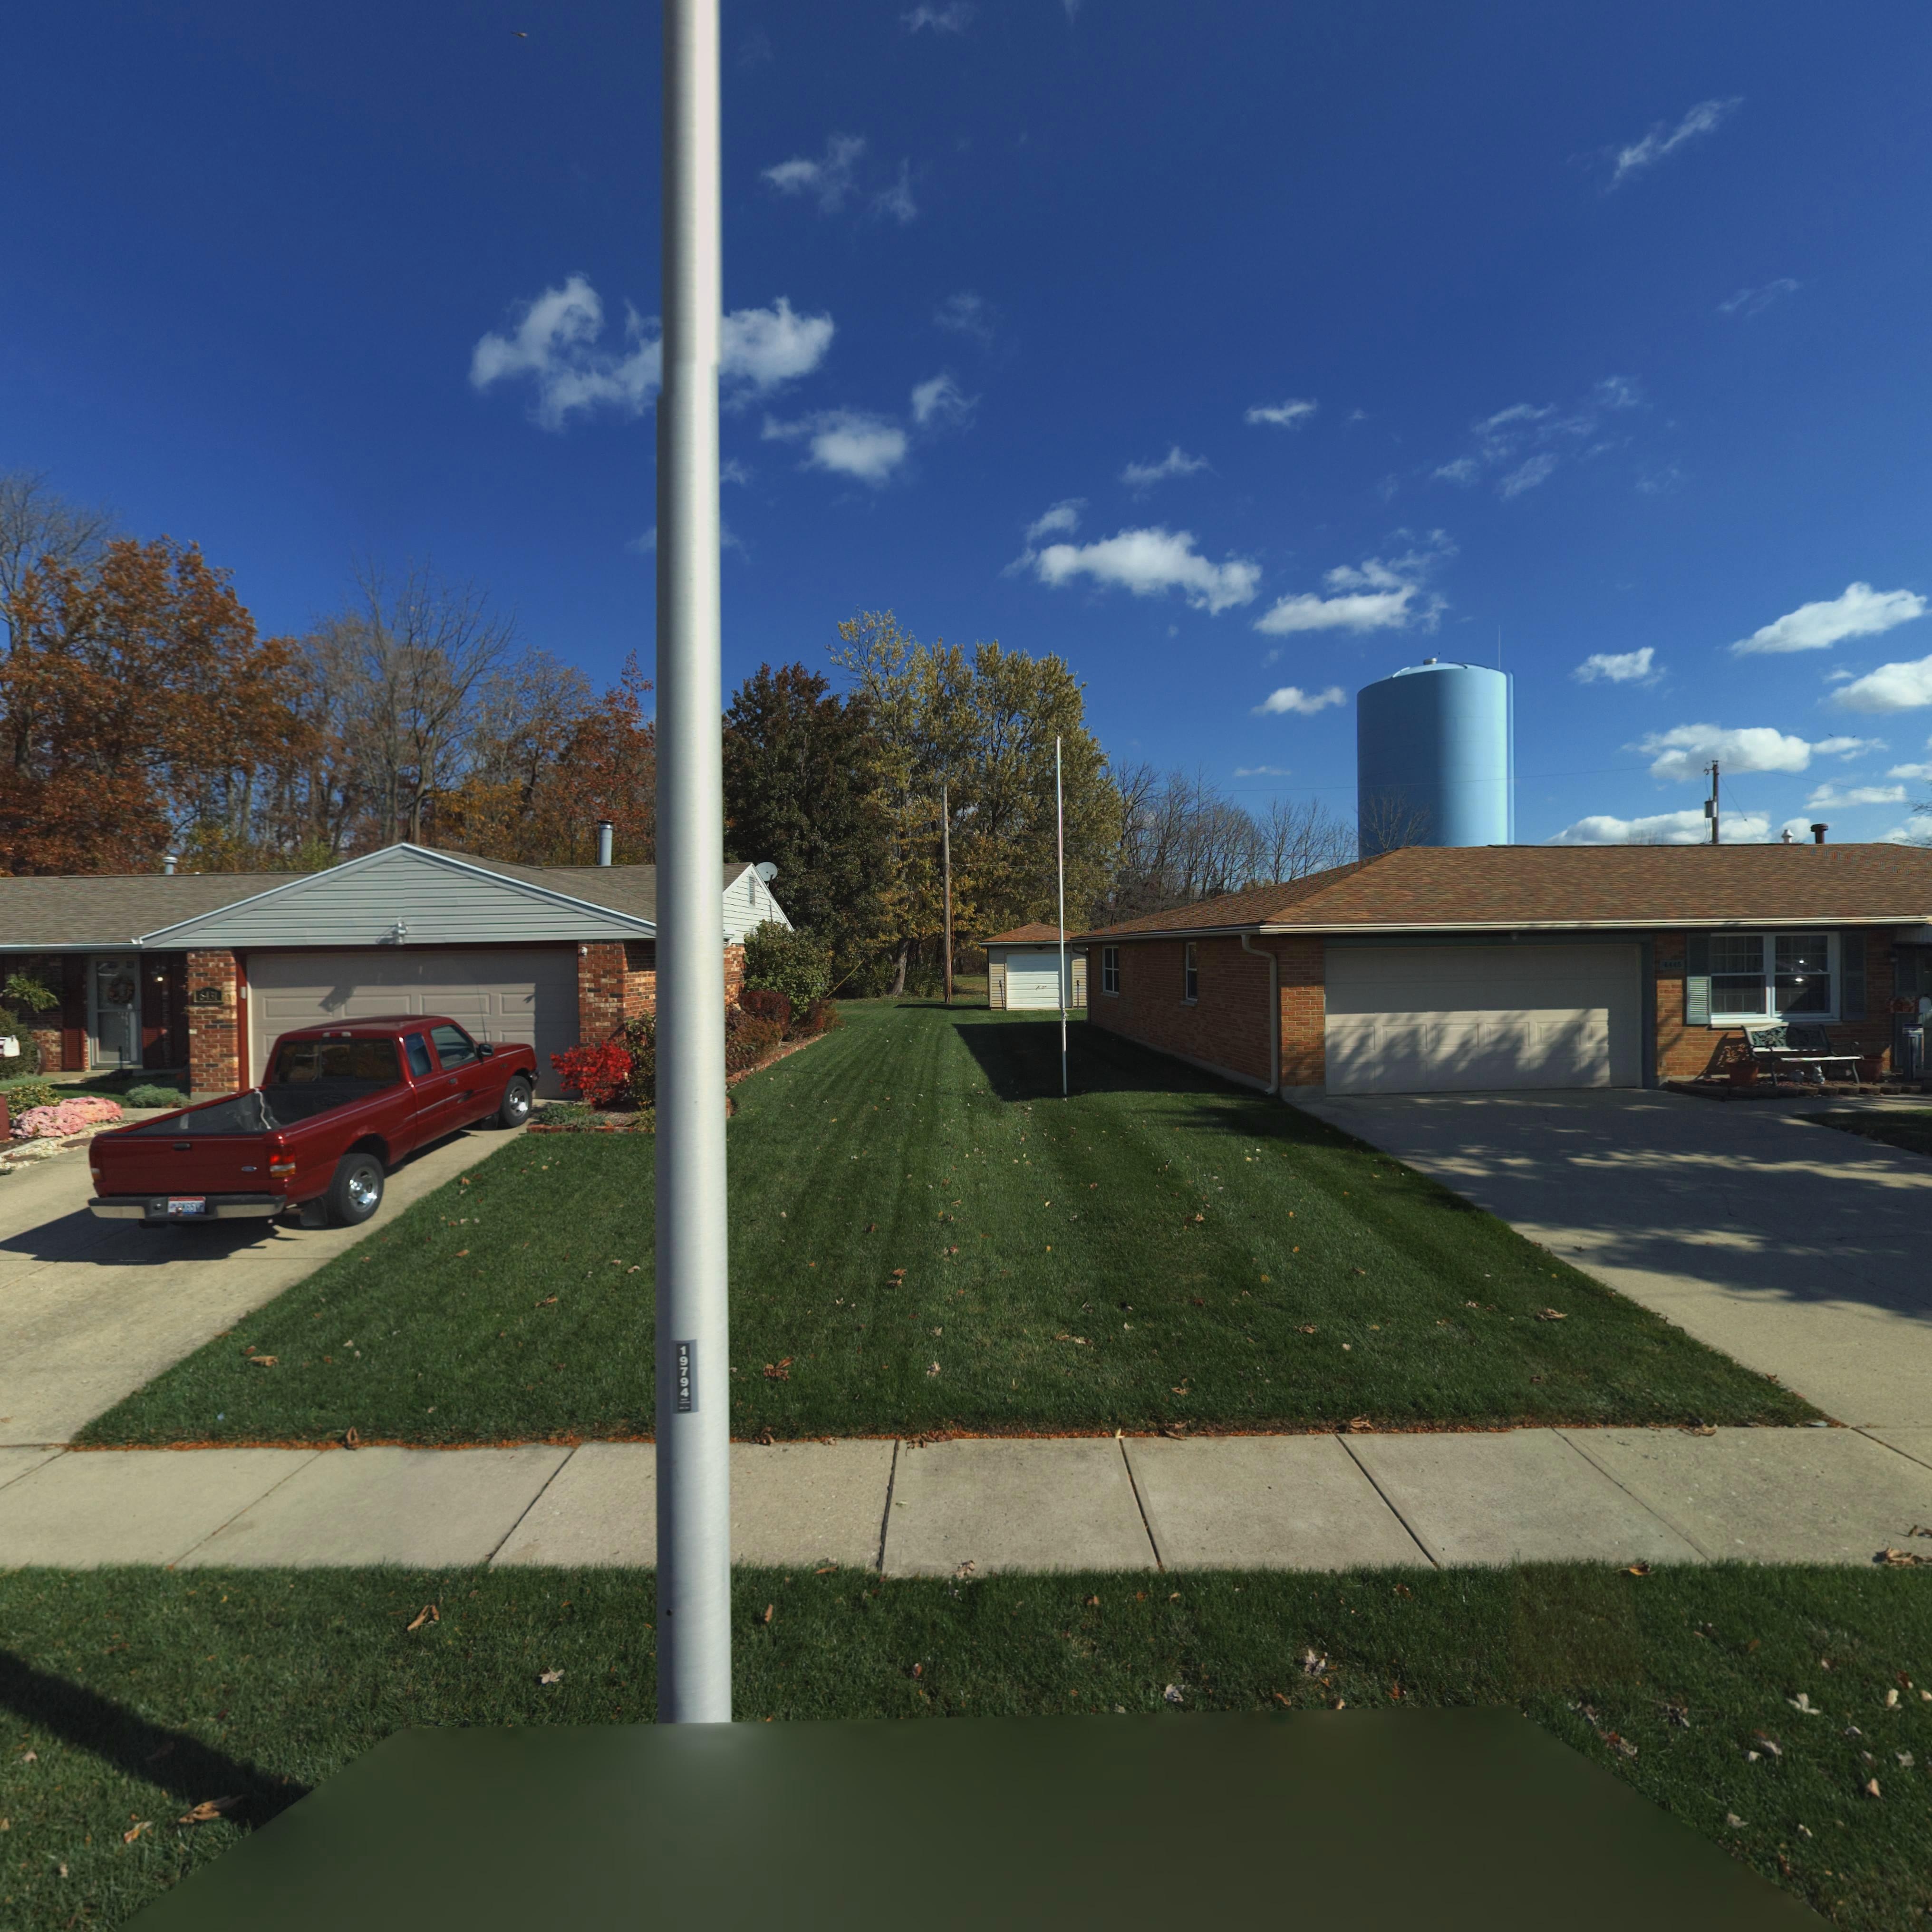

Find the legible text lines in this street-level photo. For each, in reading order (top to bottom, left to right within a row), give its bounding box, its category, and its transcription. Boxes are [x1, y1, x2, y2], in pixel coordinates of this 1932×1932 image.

[199, 991, 218, 1001] StreetNumber: 6431